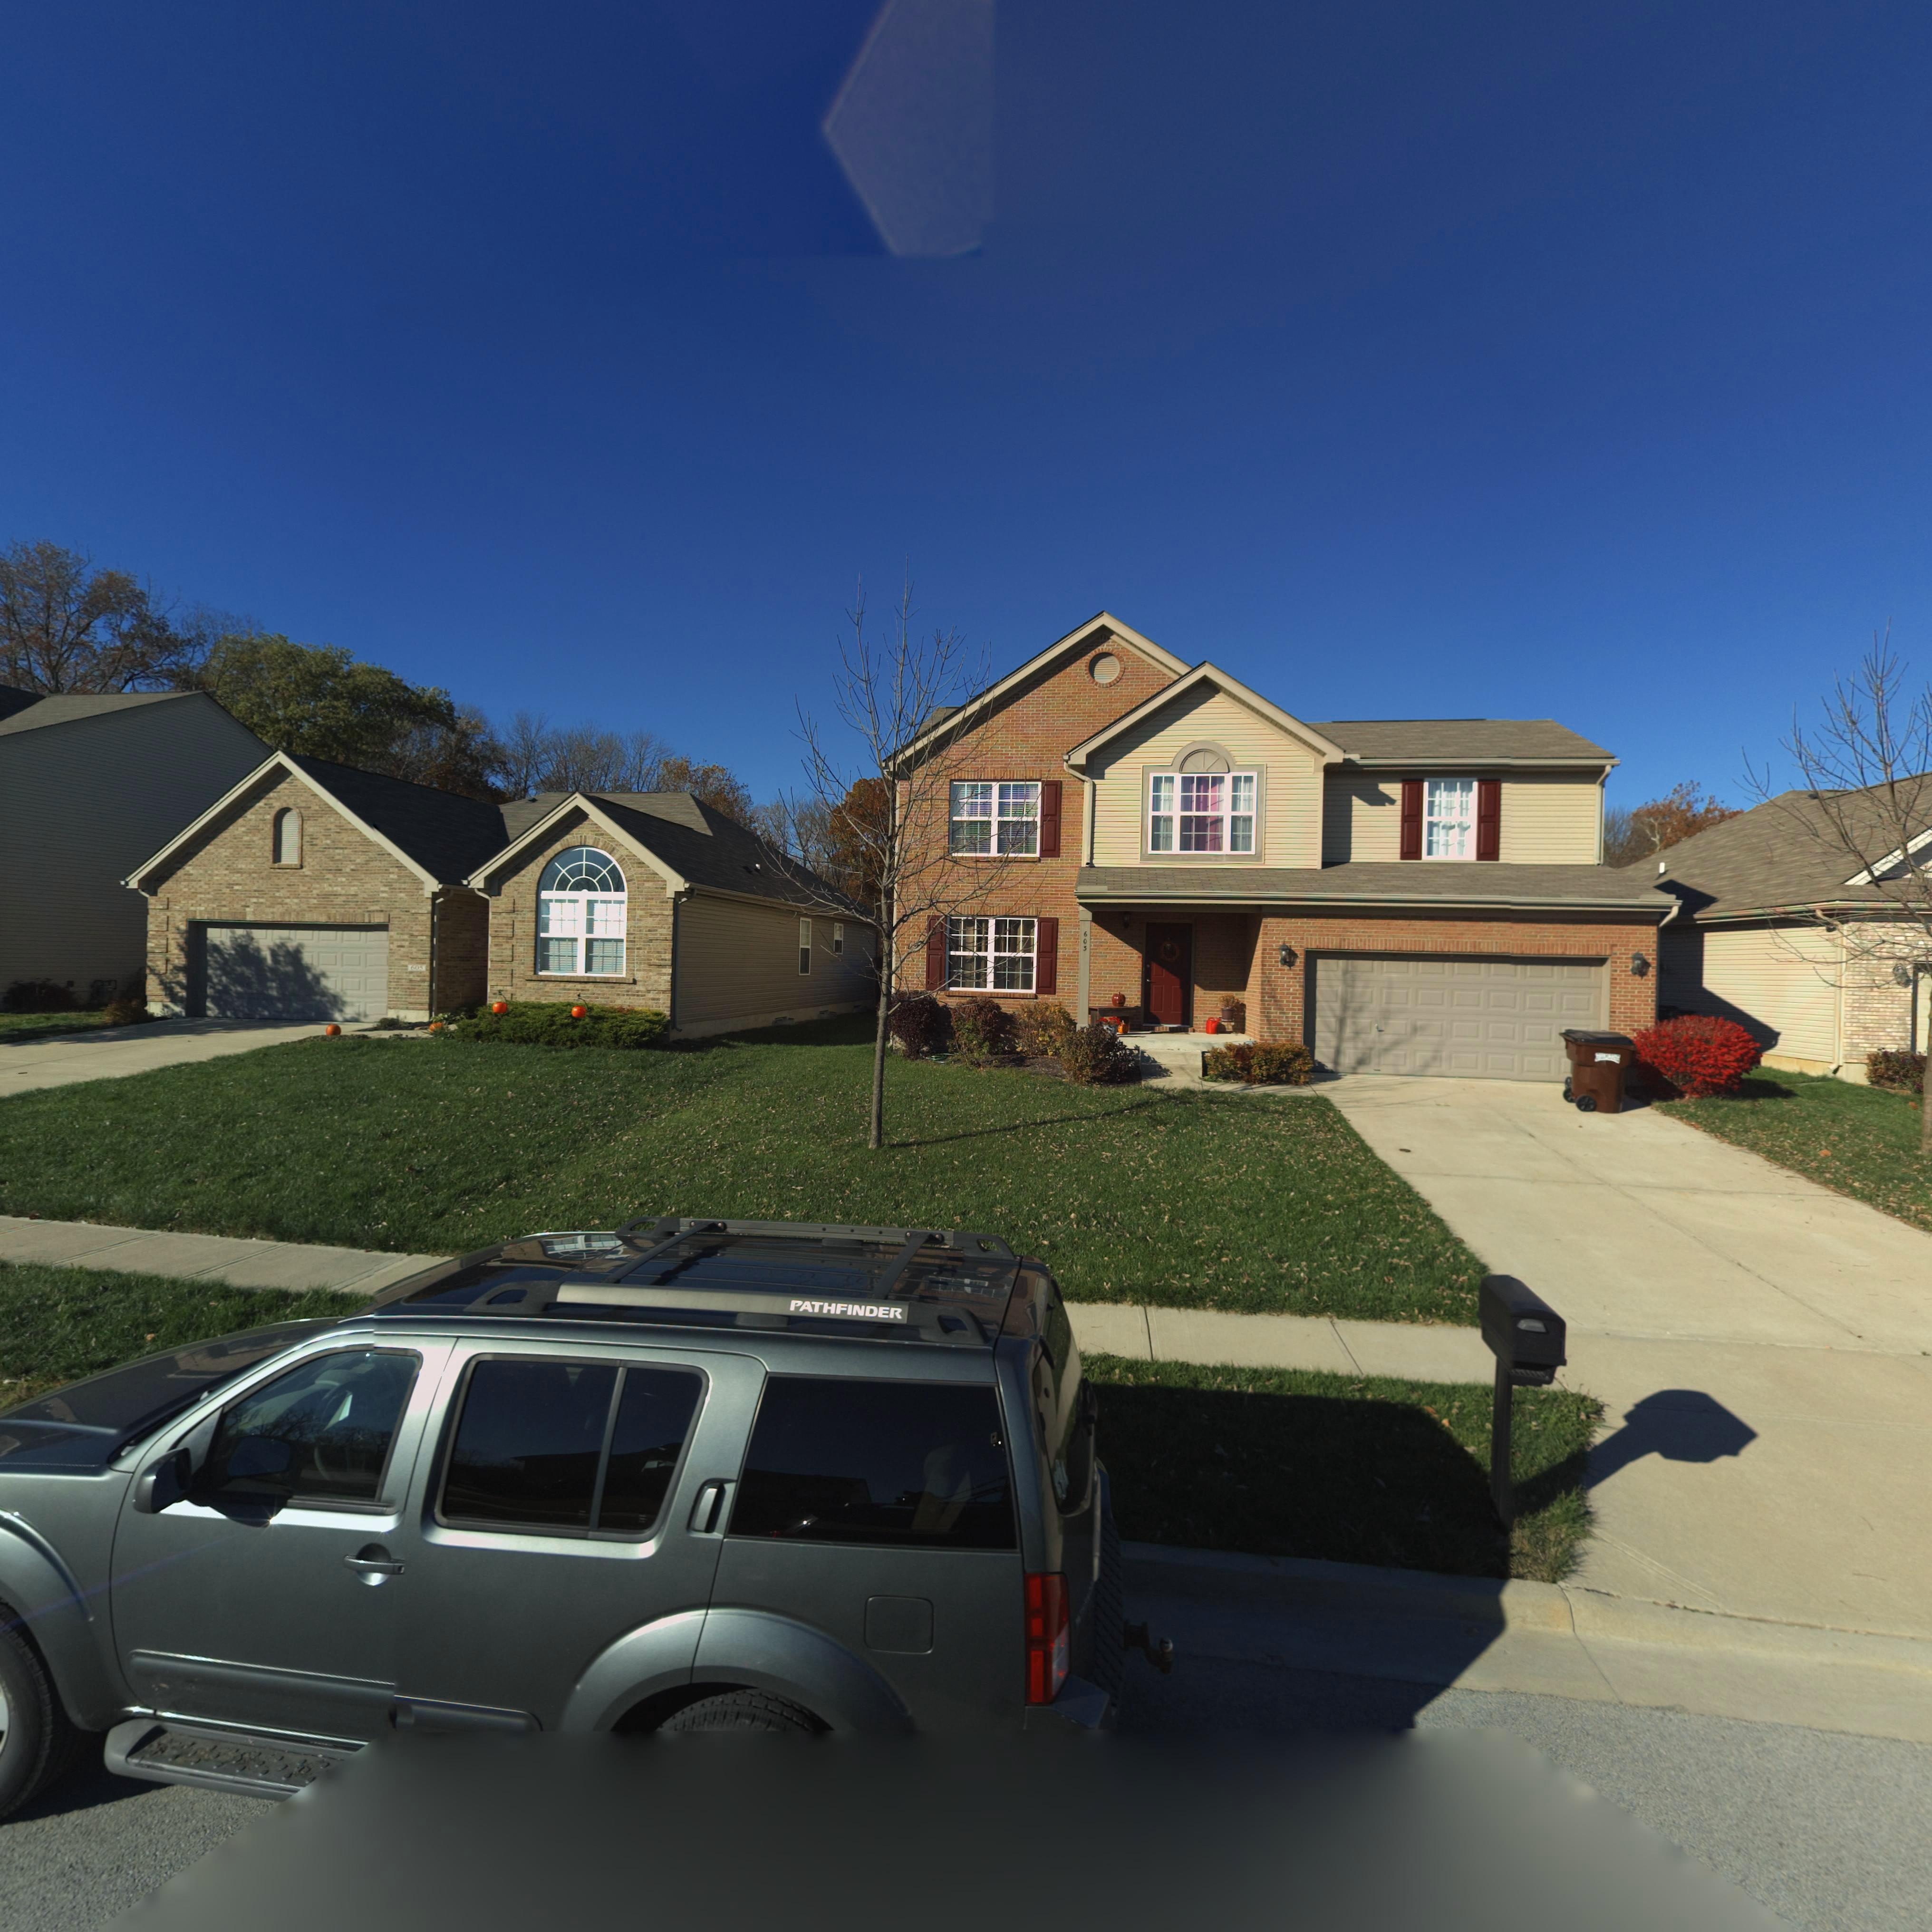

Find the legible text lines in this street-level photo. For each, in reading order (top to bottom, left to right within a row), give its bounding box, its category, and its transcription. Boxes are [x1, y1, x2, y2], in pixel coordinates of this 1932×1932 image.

[1082, 930, 1088, 951] StreetNumber: 603
[410, 965, 424, 971] StreetNumber: 605